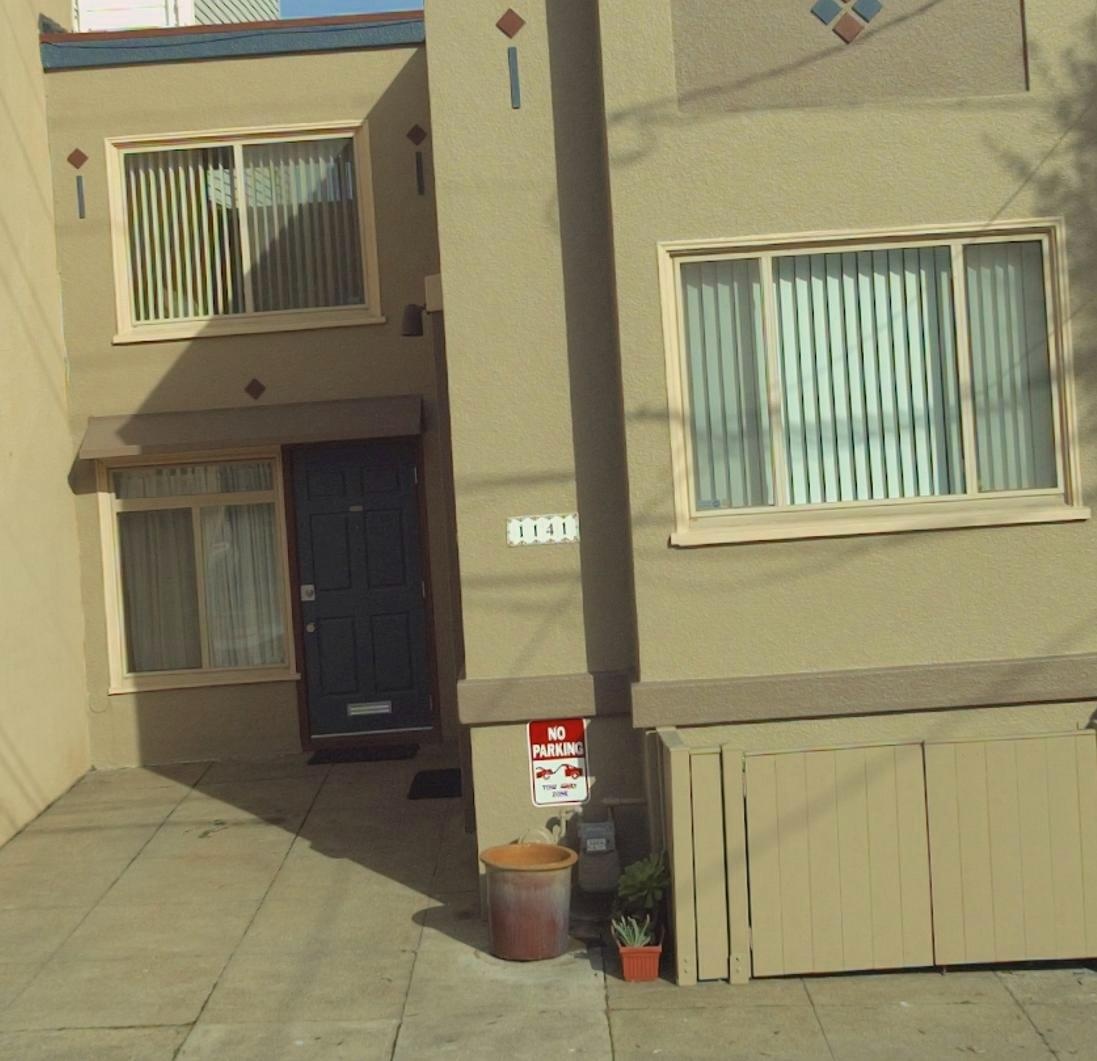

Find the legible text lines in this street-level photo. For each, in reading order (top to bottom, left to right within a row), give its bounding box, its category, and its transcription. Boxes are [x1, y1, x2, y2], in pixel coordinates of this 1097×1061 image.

[517, 521, 568, 539] StreetNumber: 1141
[547, 724, 567, 742] None: no
[532, 741, 585, 759] None: PARKING
[541, 782, 579, 791] None: TOW AWAY
[551, 790, 570, 798] None: ZONE